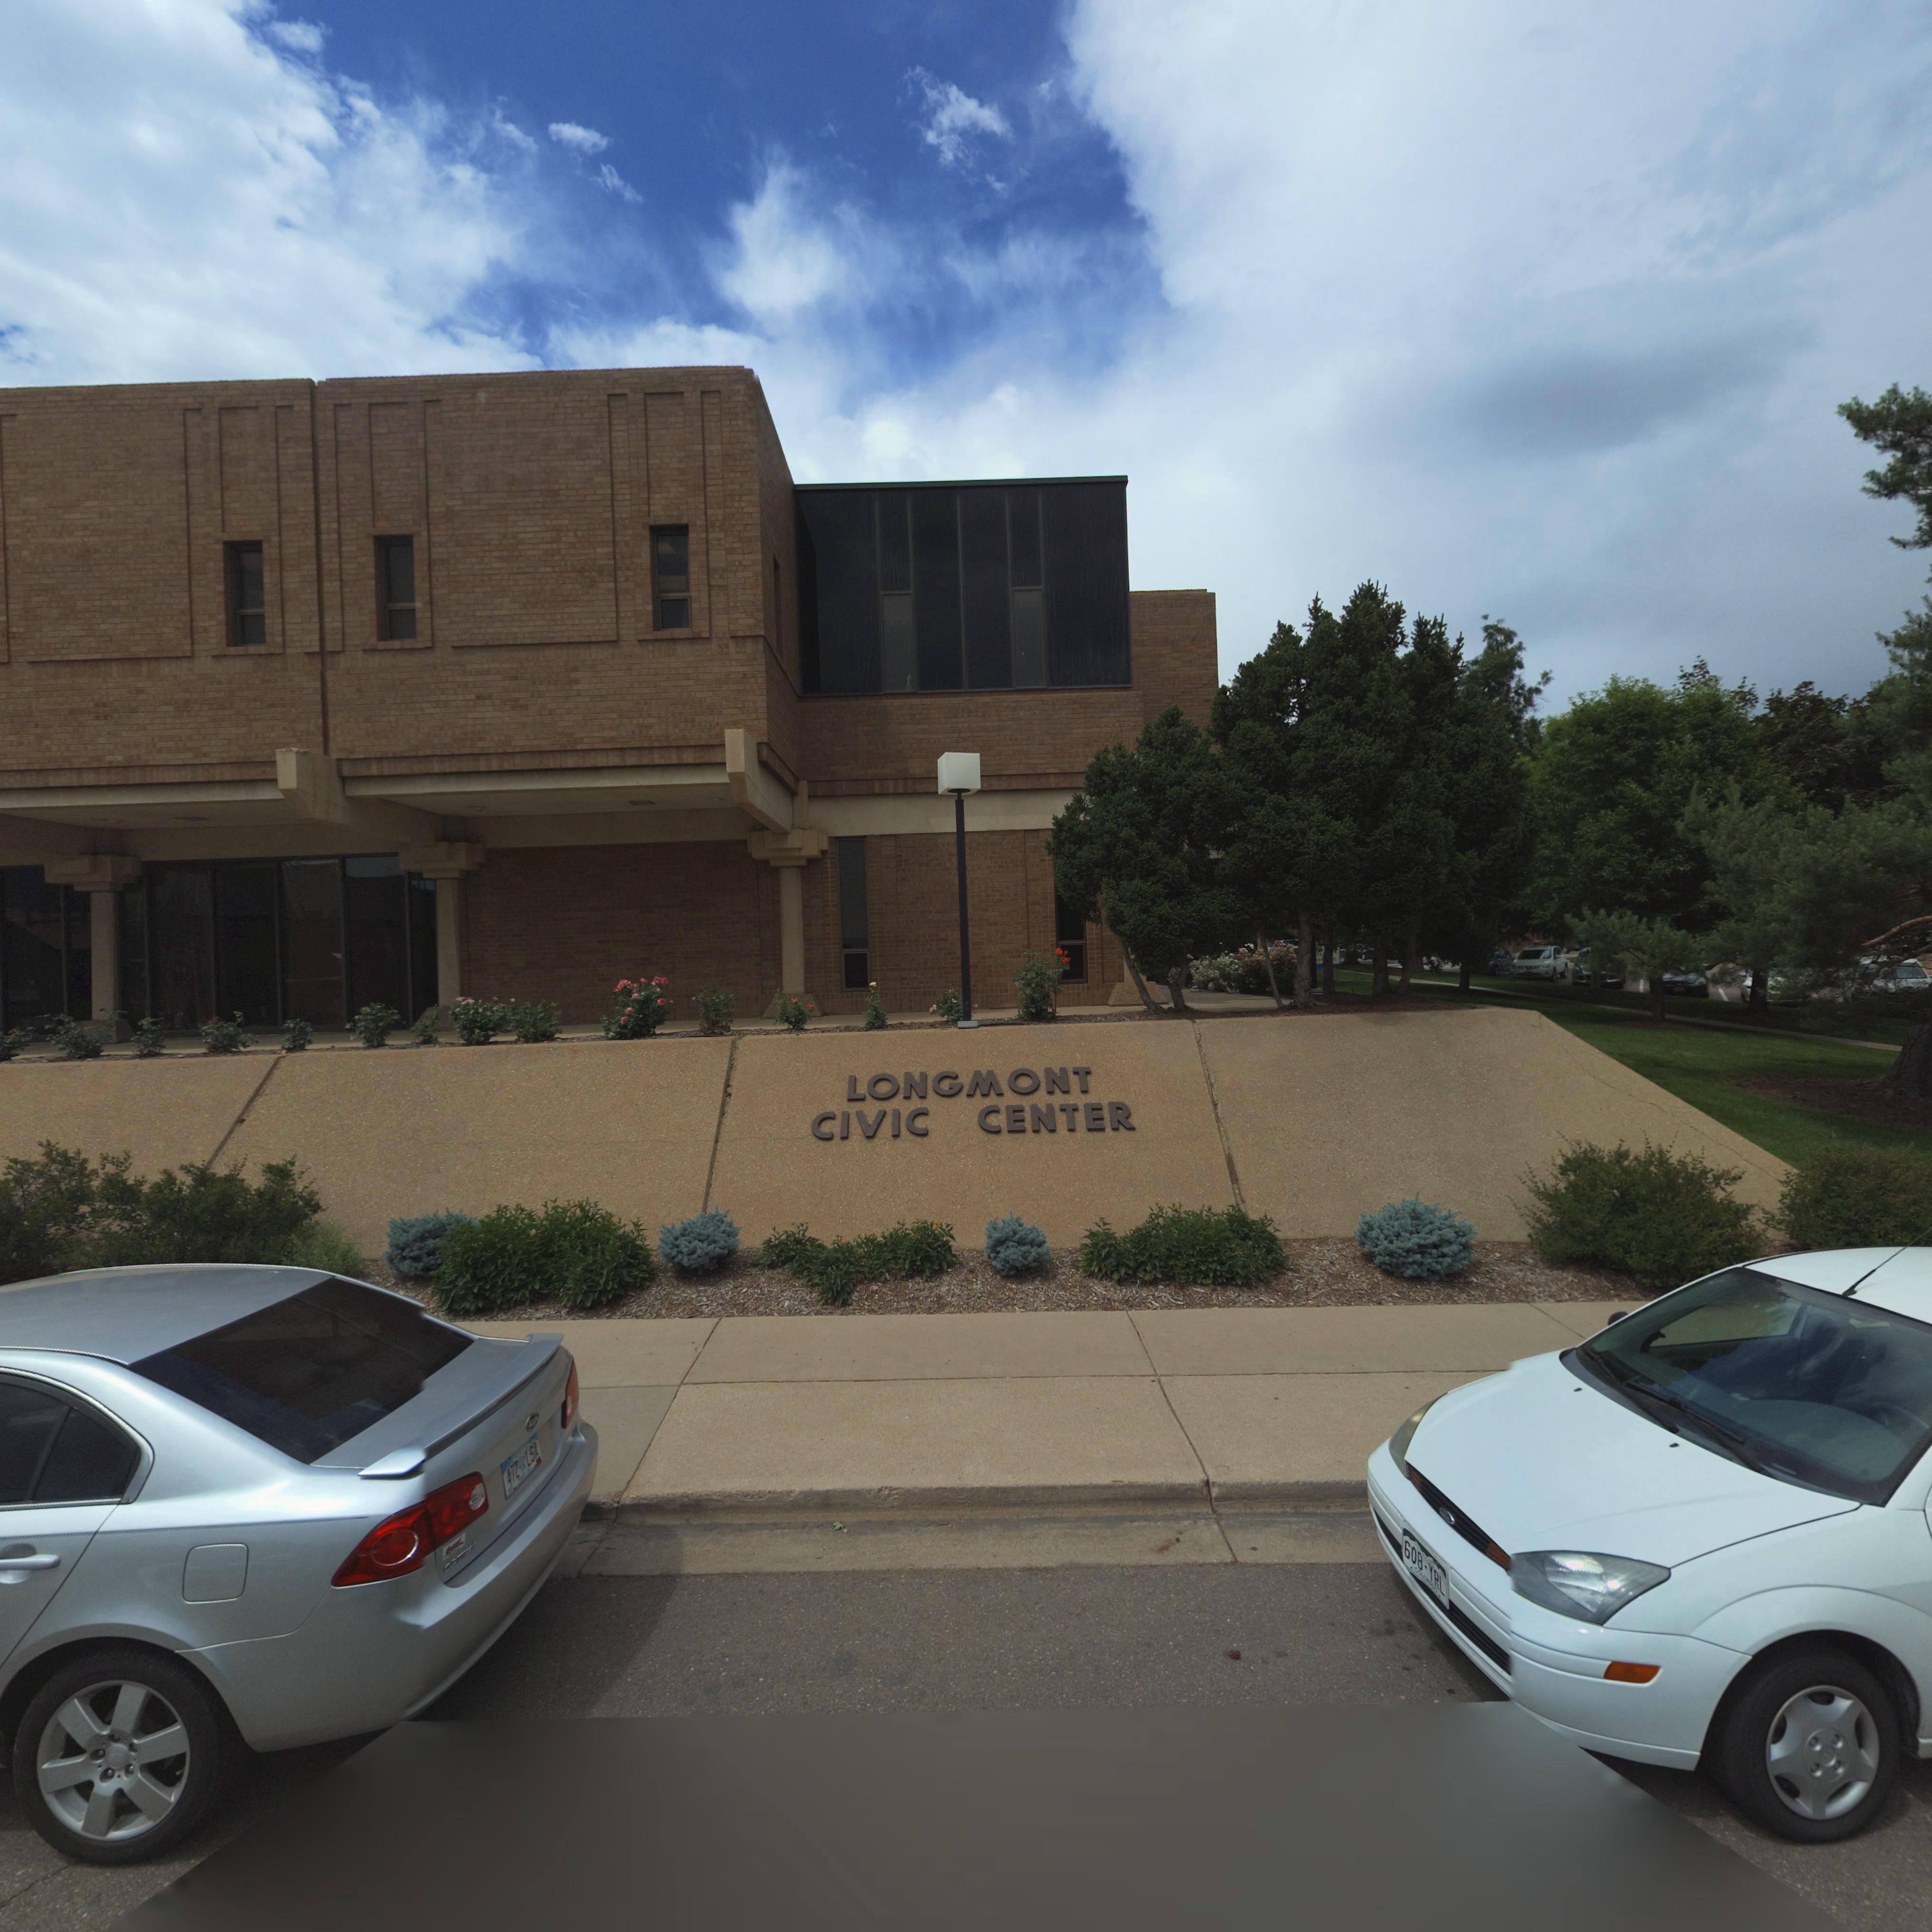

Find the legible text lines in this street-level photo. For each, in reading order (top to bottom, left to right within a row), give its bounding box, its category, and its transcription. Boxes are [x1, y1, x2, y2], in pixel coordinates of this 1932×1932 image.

[846, 1065, 1094, 1101] BusinessName: LONGMONT
[810, 1101, 1136, 1140] StreetName: CIVIC CENTER